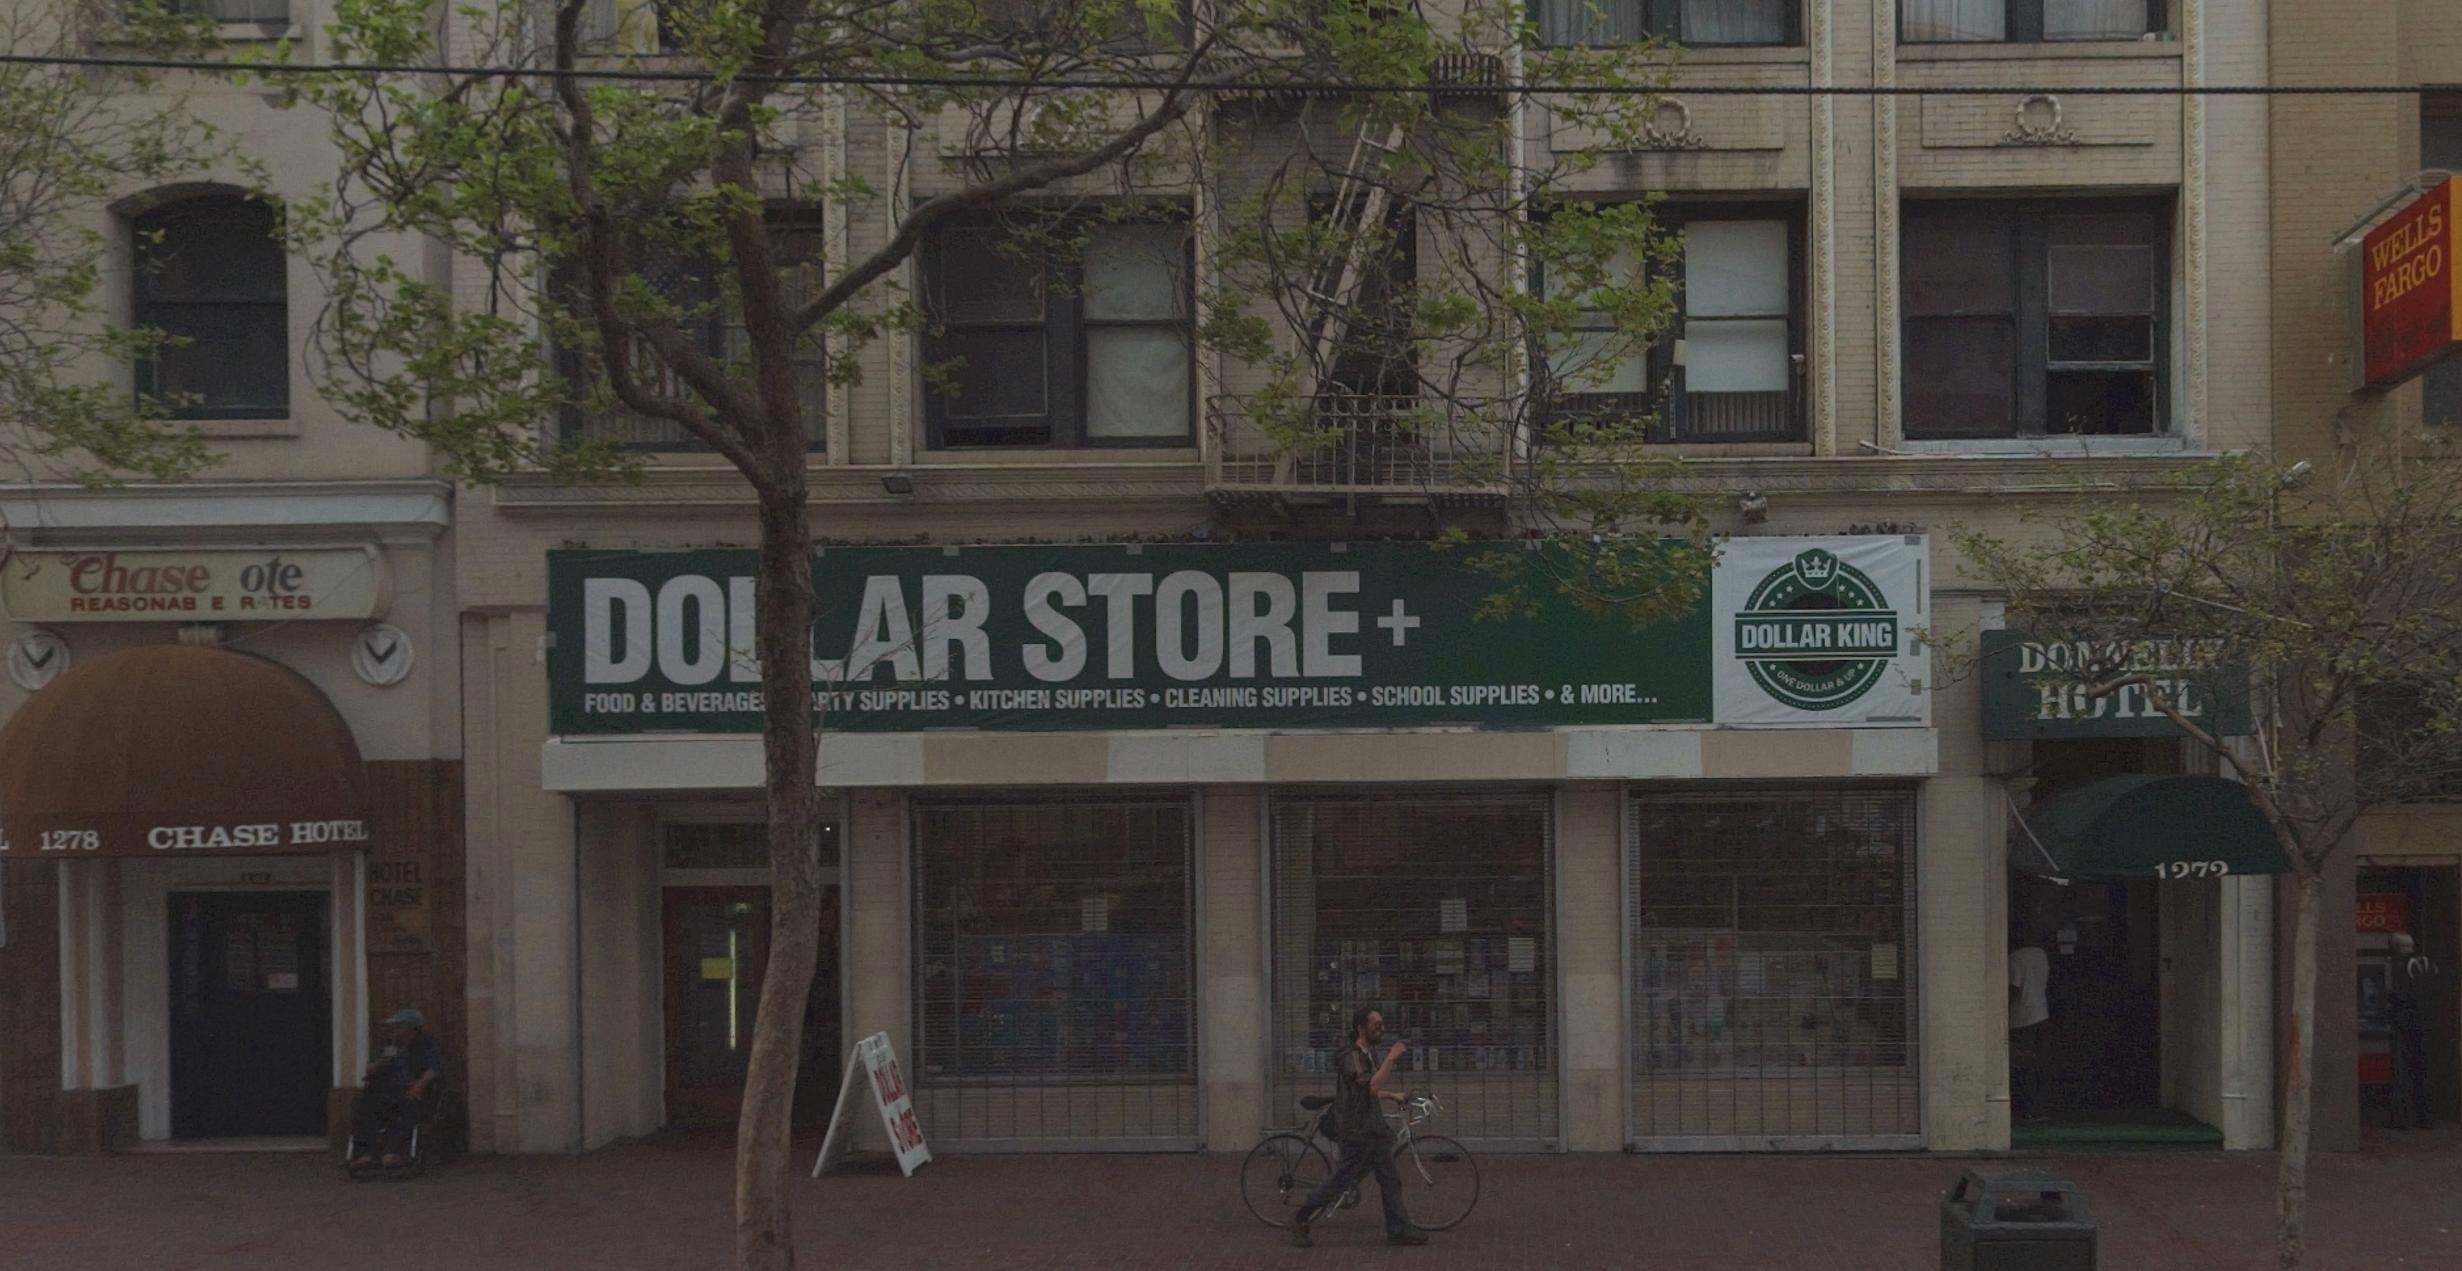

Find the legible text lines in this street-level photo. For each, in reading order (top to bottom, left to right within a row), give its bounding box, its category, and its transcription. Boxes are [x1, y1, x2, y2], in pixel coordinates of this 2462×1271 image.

[2367, 196, 2444, 276] BusinessName: WELLS
[2371, 240, 2444, 314] BusinessName: FARGO
[64, 550, 308, 598] BusinessName: Chase ote
[67, 592, 315, 615] None: REASONAB E R*TES
[580, 567, 1366, 688] BusinessName: DO**AR STORE
[1739, 619, 1895, 651] BusinessName: DOLLAR KING
[1773, 665, 1860, 695] None: ONE DOLLAR & UP
[581, 680, 1639, 716] None: FOOD & BEVERAGE******* SUPPLIES * KITCHEN SUPPLIES * CLEANING SUPPLIES * SCHOOL SUPPLIES * & MORE
[38, 826, 102, 853] StreetNumber: 1278
[144, 816, 371, 854] BusinessName: CHASE HOTEL
[365, 857, 428, 887] BusinessName: HOTEL
[365, 885, 427, 909] BusinessName: CHASE
[2355, 898, 2389, 916] BusinessName: LLS
[2360, 912, 2388, 930] BusinessName: GO